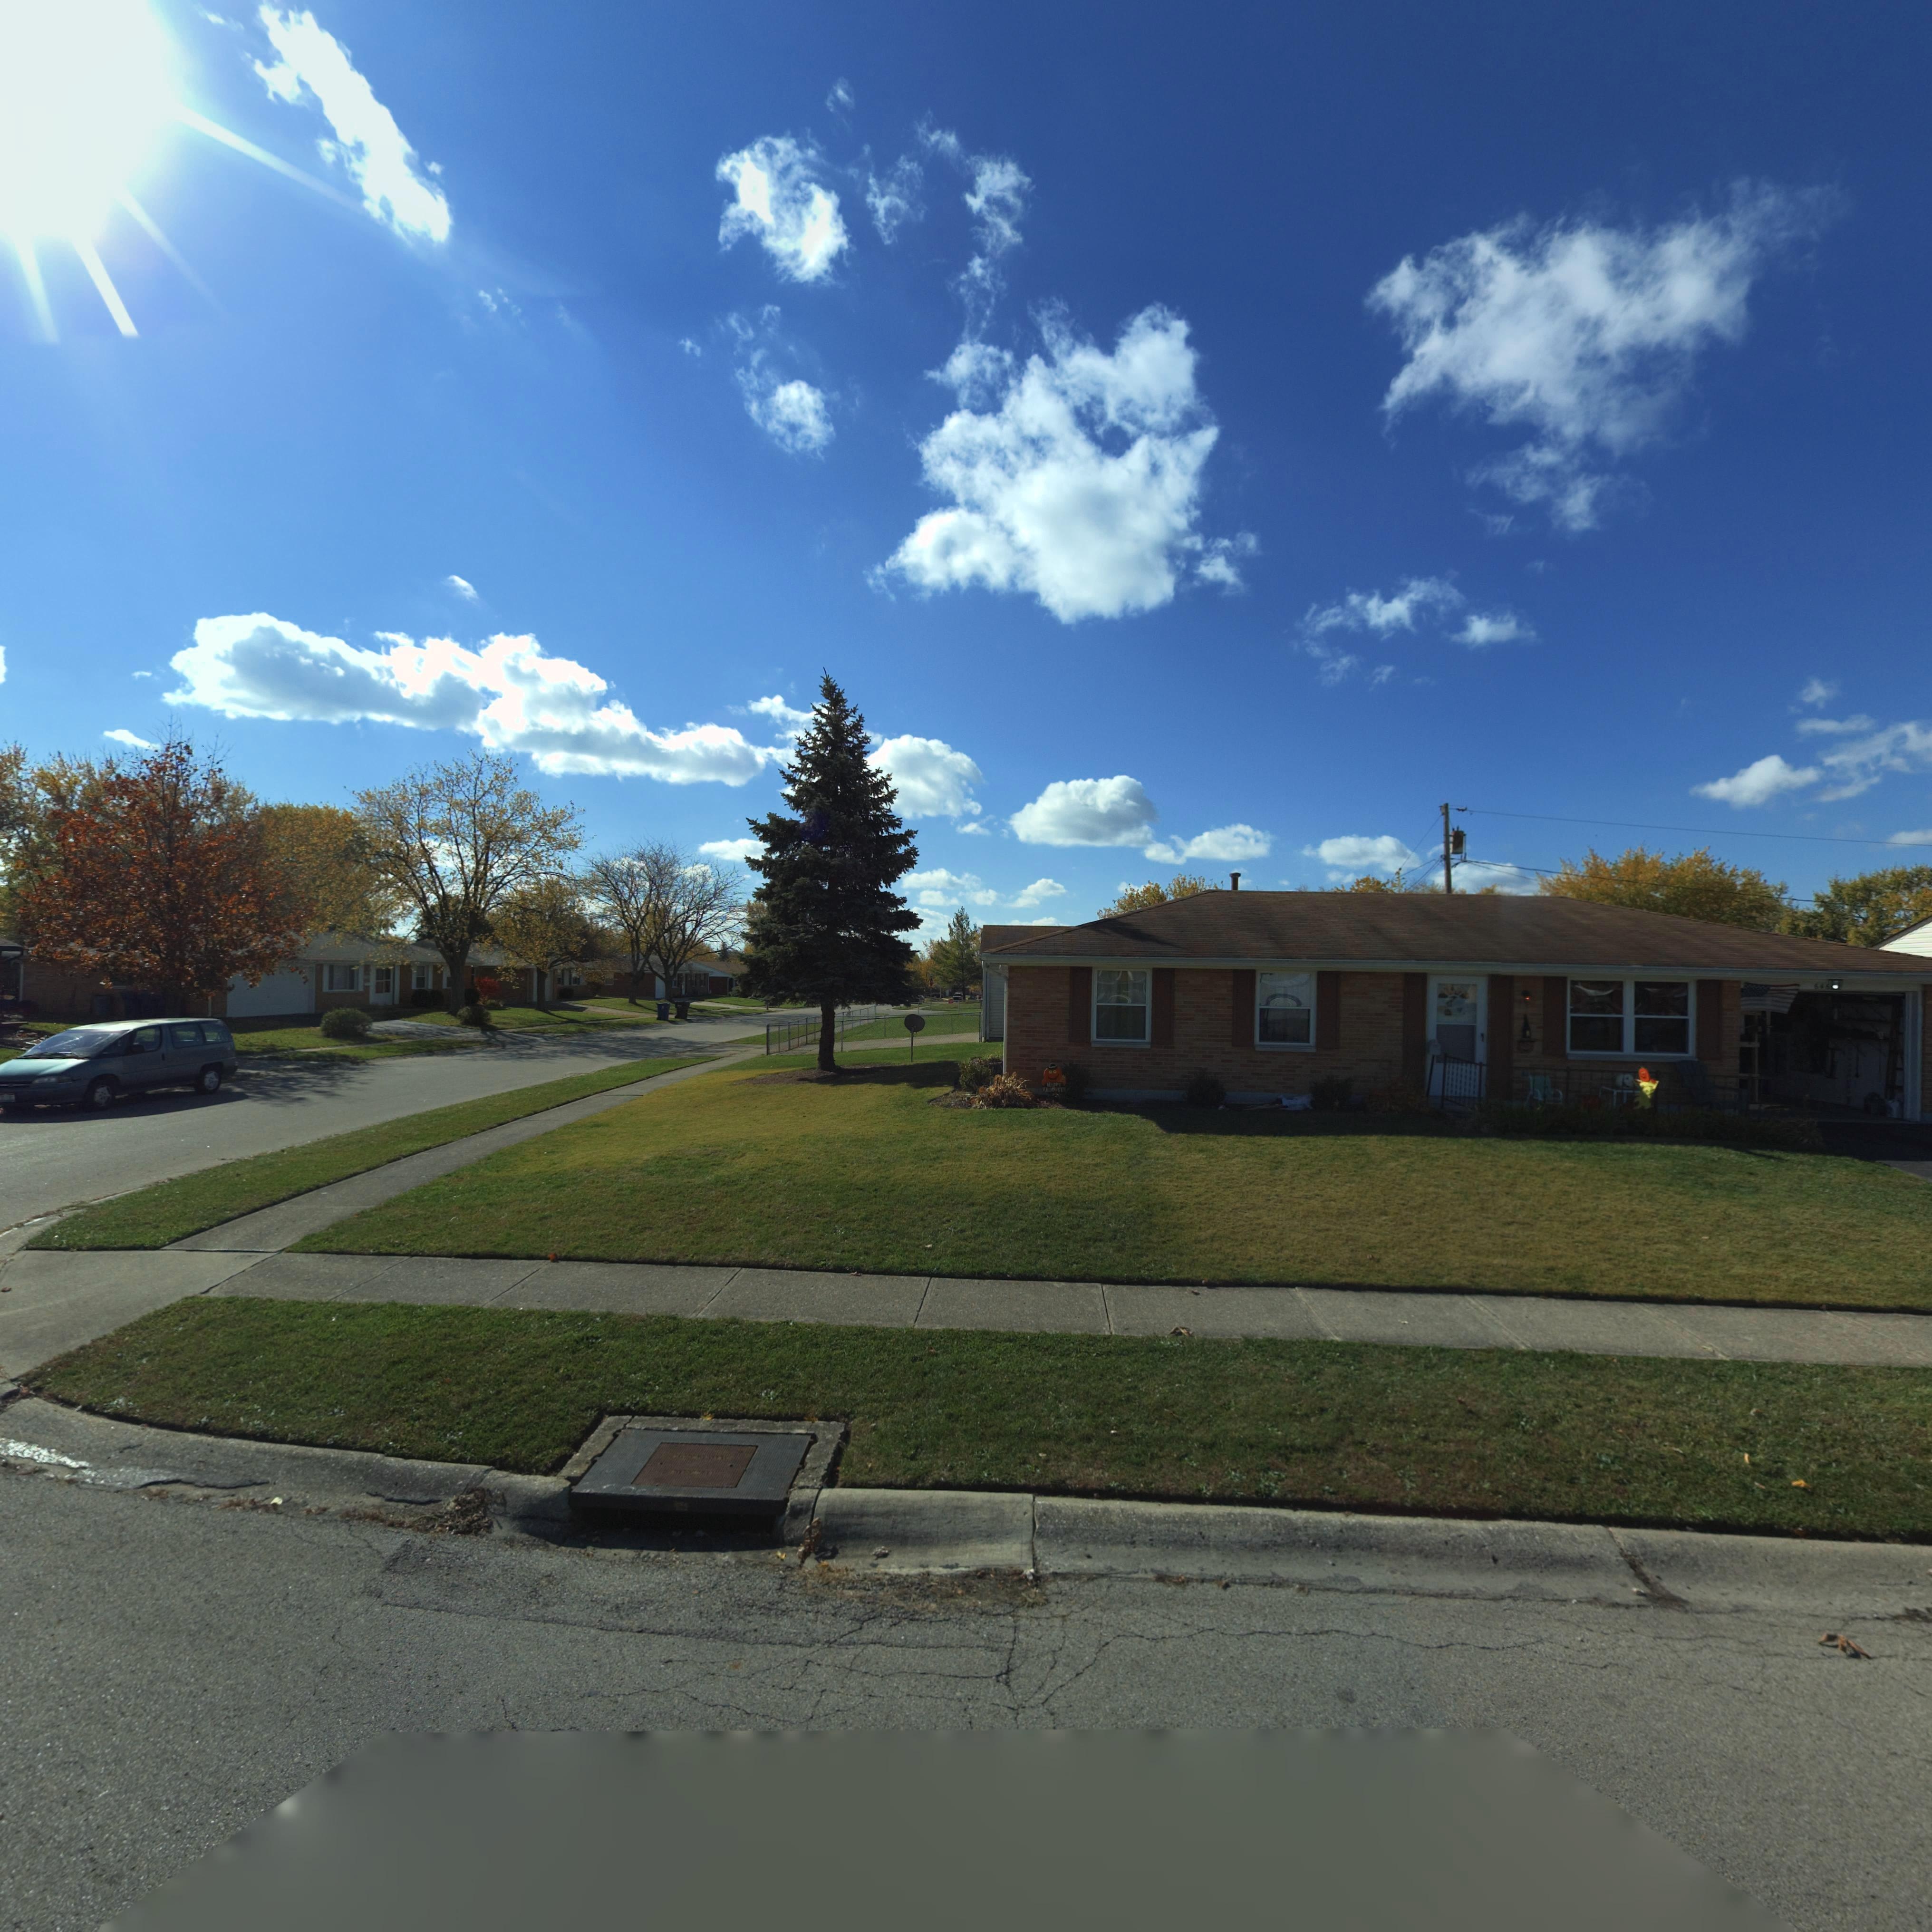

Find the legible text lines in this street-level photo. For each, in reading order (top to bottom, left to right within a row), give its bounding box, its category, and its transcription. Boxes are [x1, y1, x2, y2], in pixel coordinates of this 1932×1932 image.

[1814, 983, 1831, 991] StreetNumber: 645